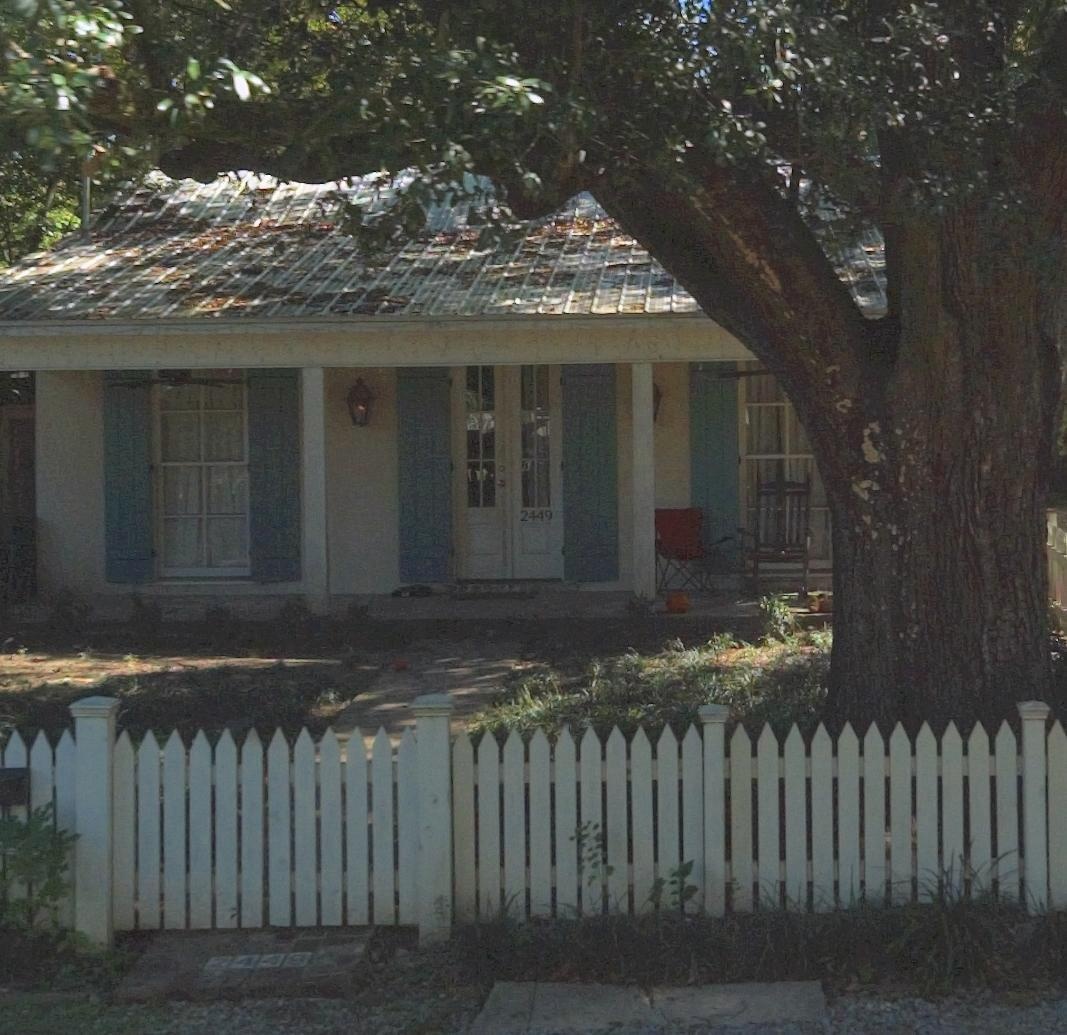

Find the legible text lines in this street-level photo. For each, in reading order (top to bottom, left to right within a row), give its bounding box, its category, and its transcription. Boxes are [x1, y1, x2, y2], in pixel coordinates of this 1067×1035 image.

[518, 508, 555, 523] StreetNumber: 2449